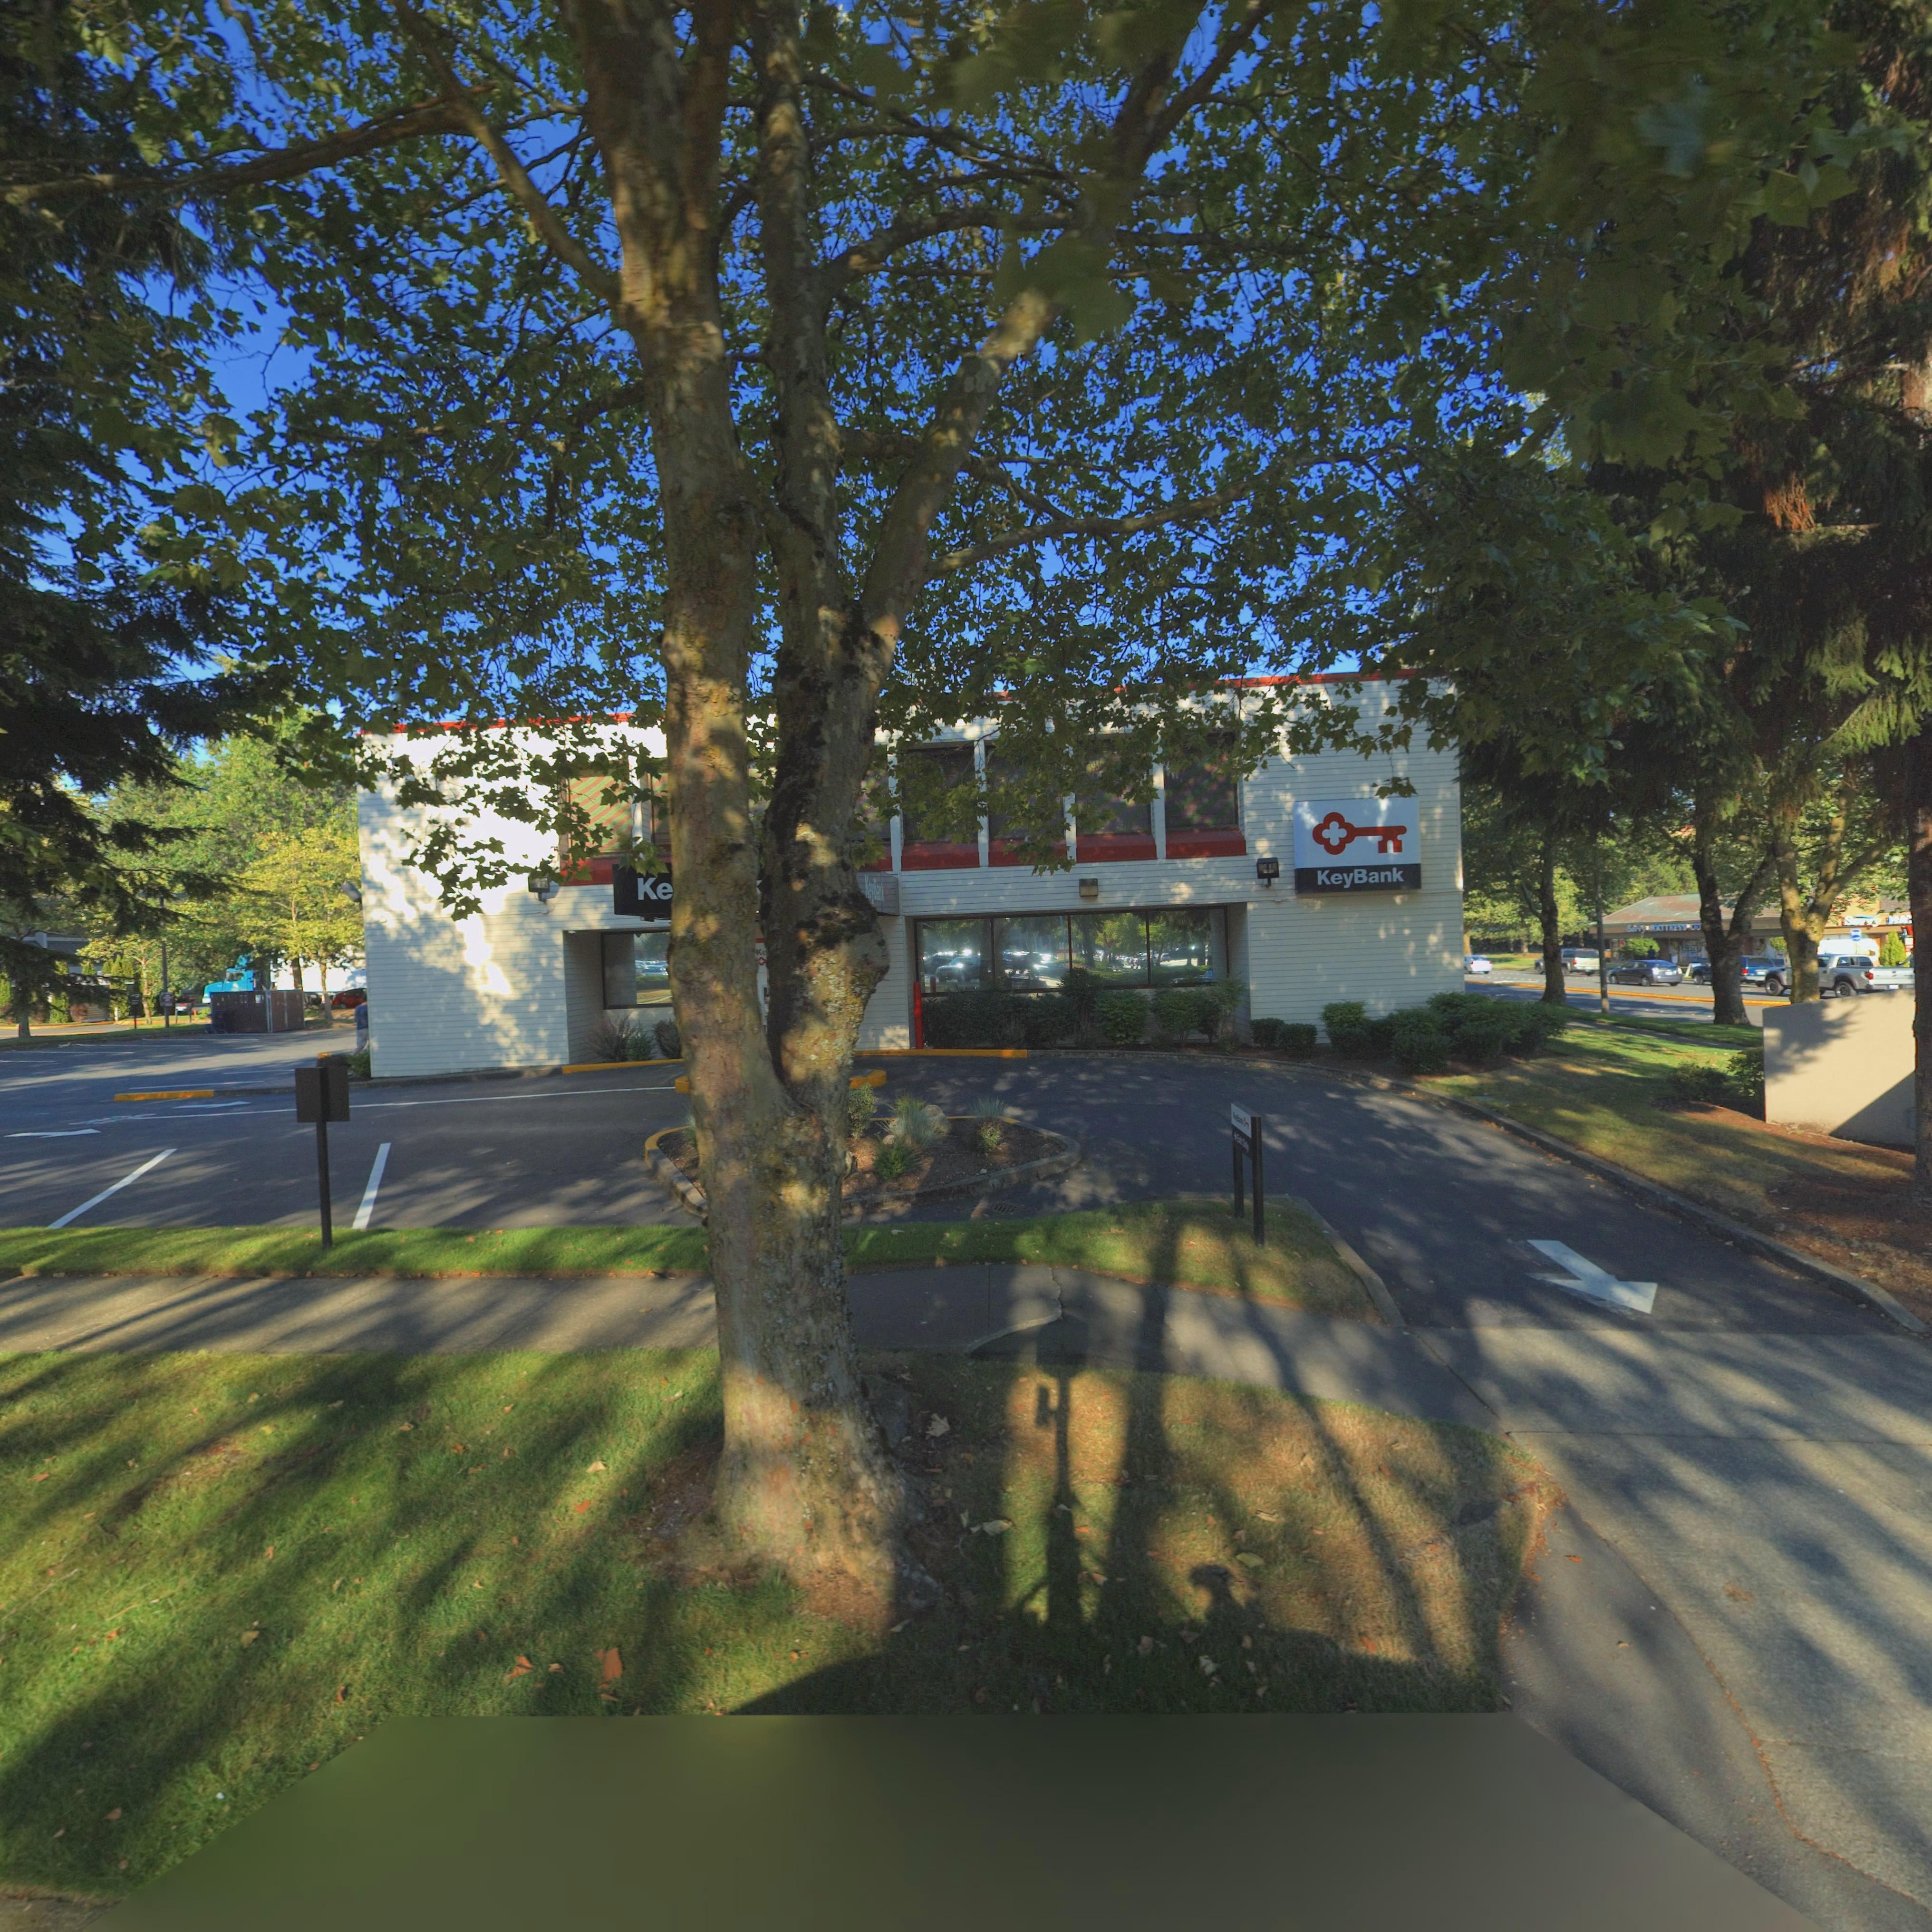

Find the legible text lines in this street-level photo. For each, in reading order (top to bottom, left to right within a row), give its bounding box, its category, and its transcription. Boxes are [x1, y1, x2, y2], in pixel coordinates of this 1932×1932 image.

[634, 875, 676, 903] BusinessName: Ke
[862, 870, 887, 908] BusinessName: KeyBank
[1314, 865, 1407, 892] BusinessName: KeyBank
[754, 947, 763, 957] BusinessName: K******